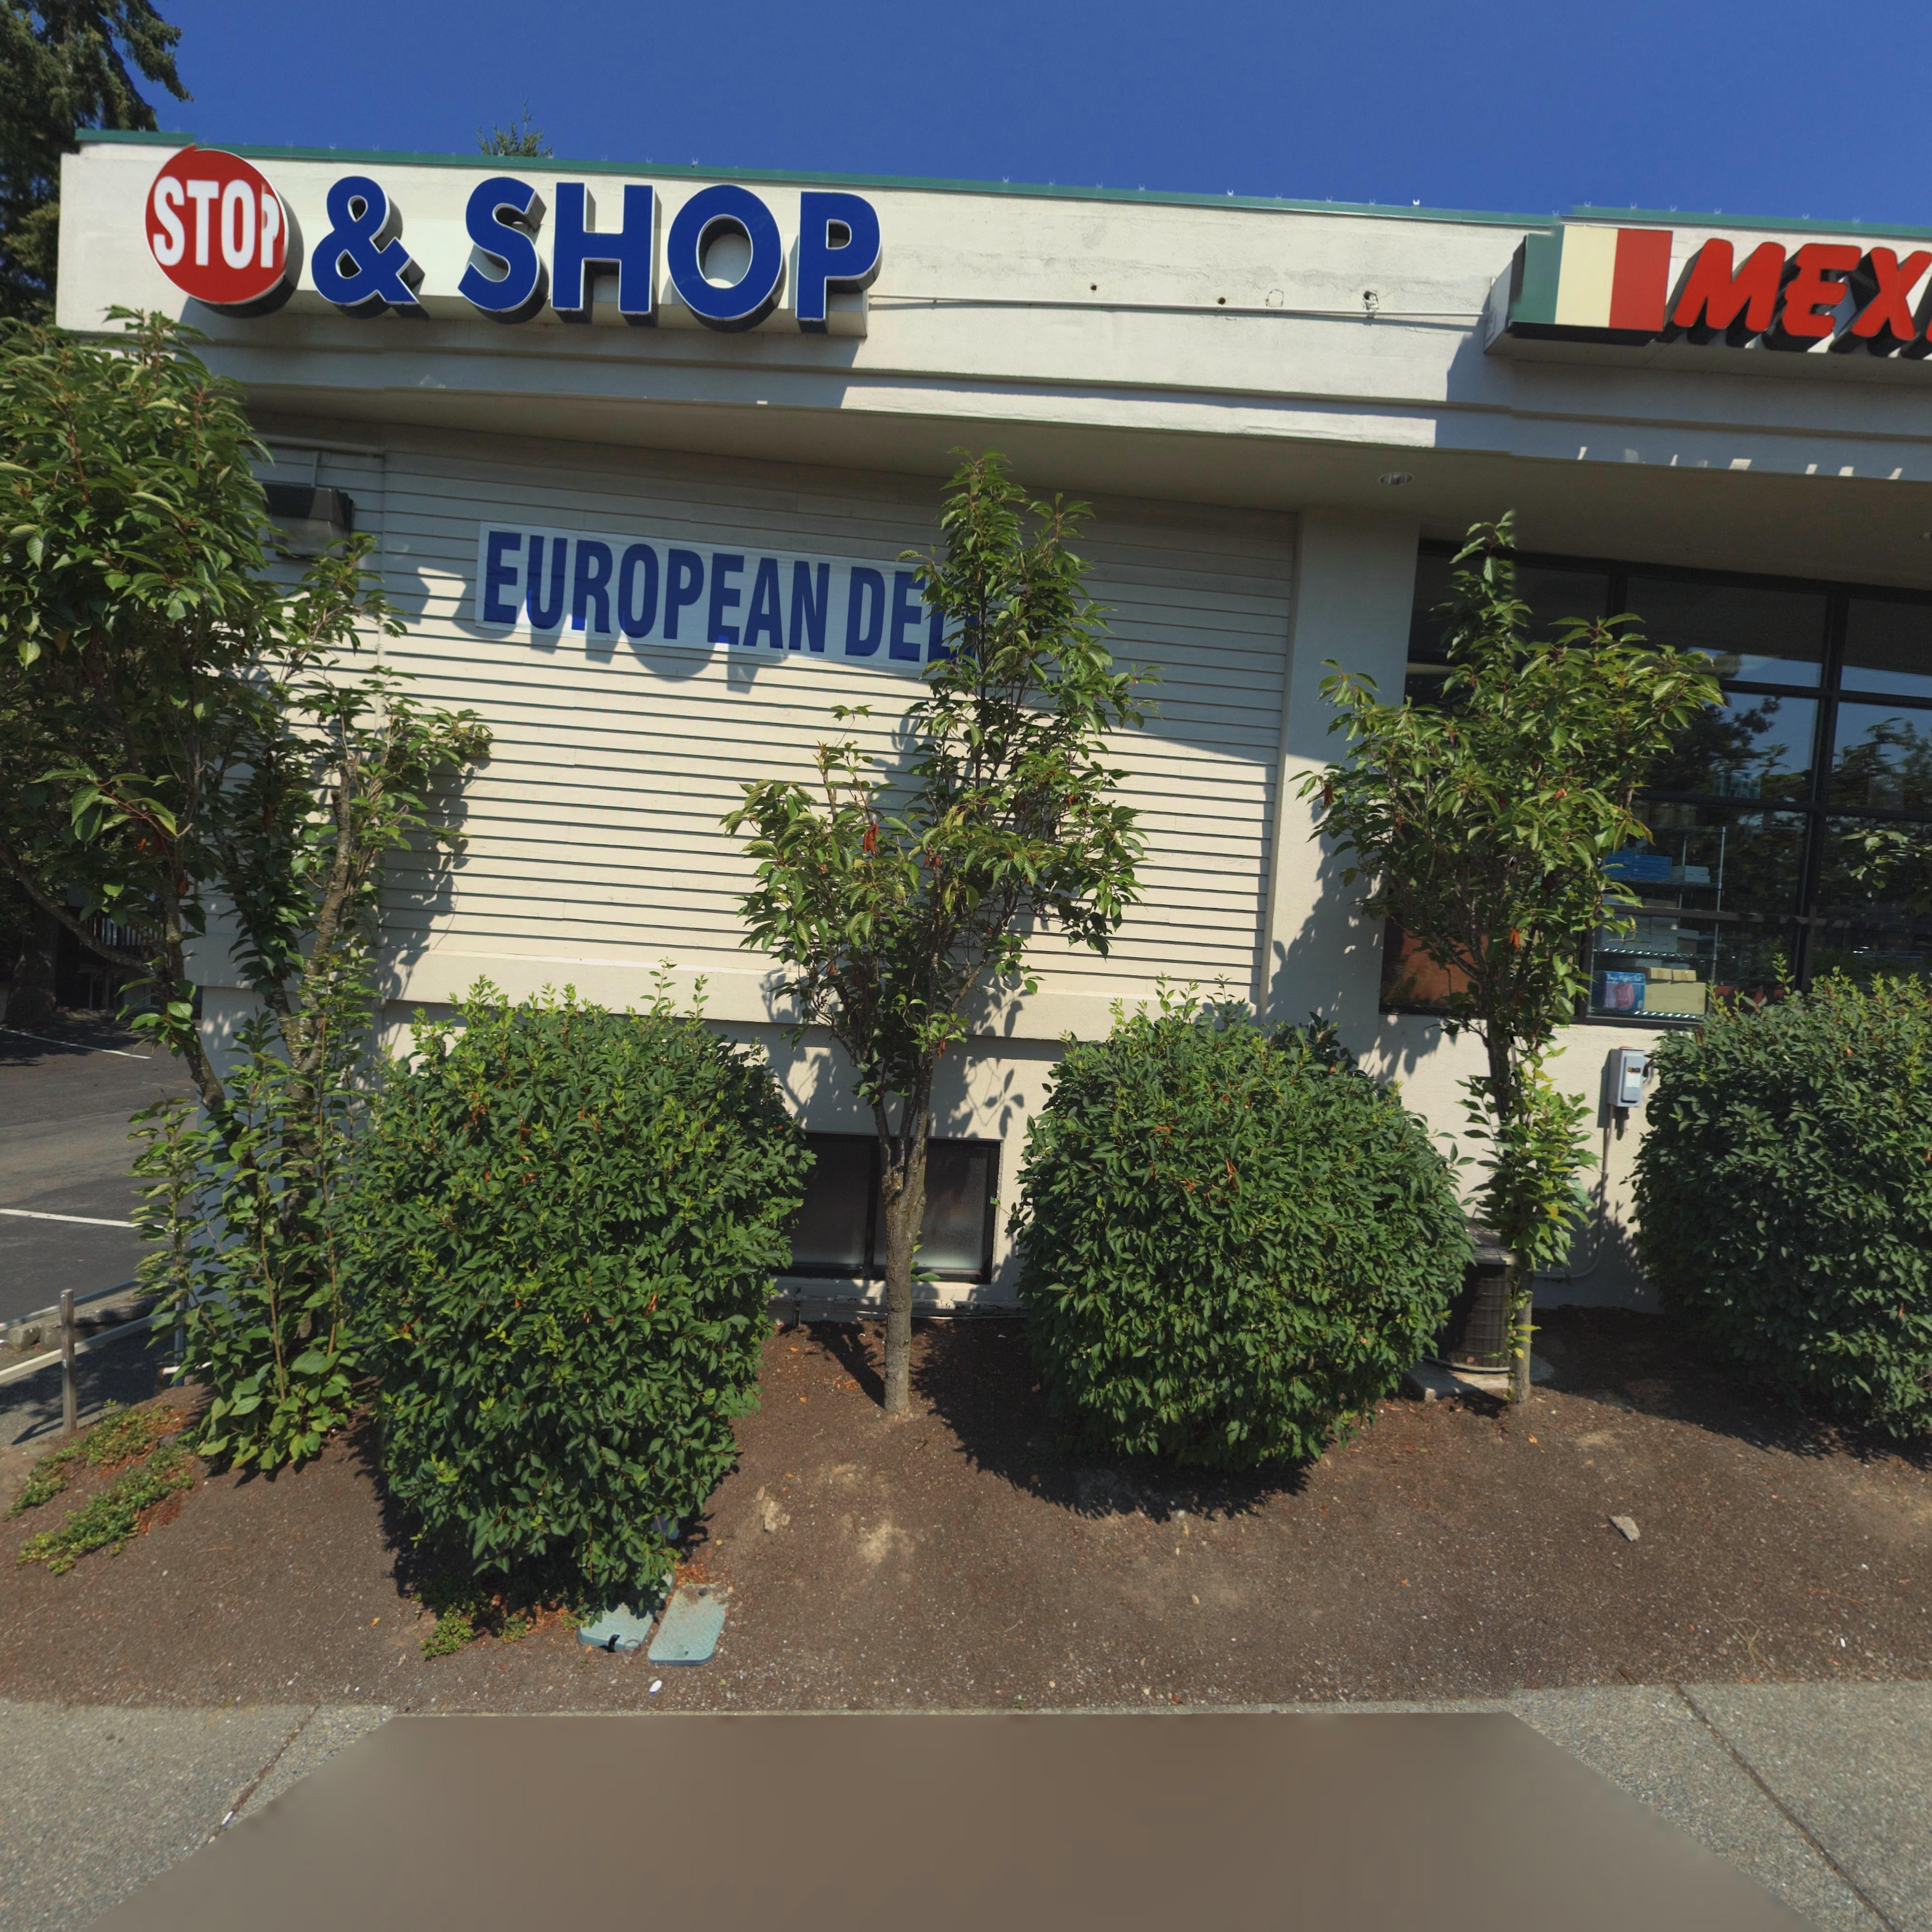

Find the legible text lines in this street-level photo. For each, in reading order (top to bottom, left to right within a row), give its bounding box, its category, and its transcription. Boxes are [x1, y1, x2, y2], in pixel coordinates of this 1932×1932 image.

[130, 145, 908, 343] BusinessName: STO* & SHOP
[481, 527, 927, 661] BusinessName: EUROPEAN DE